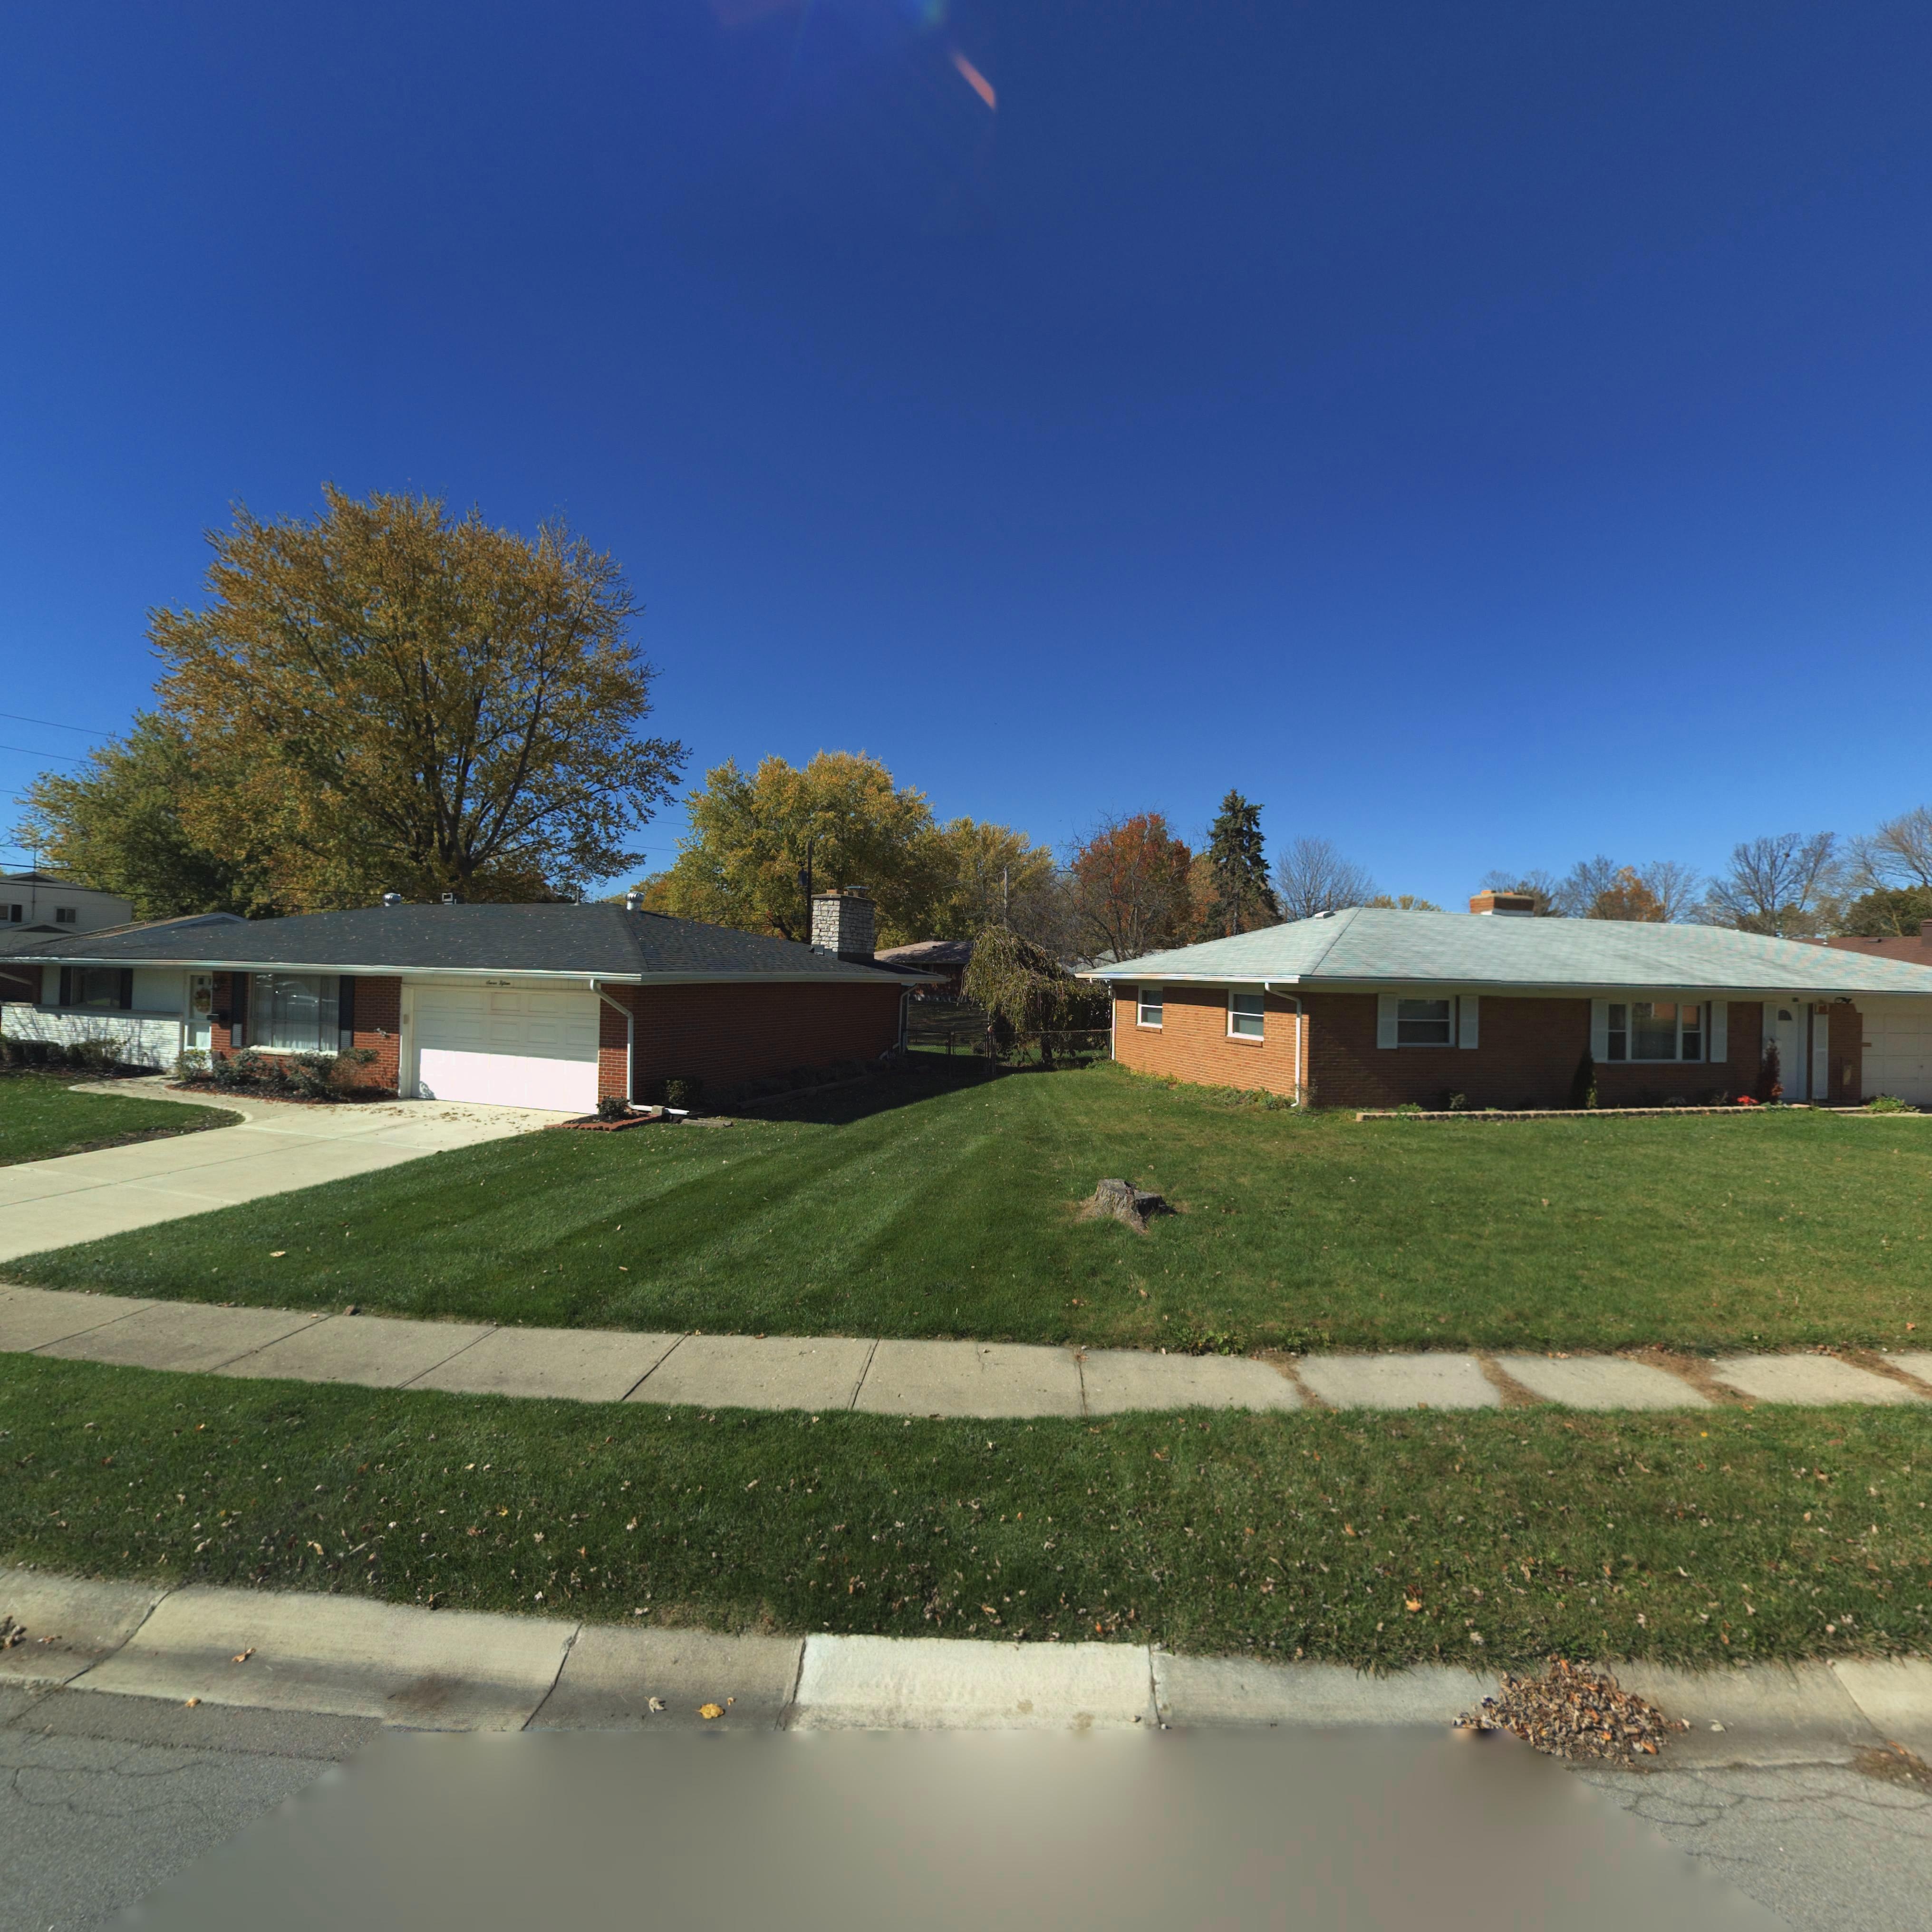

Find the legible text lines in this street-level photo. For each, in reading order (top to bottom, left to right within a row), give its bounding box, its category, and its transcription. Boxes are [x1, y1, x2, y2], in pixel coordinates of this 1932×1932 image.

[485, 979, 511, 986] StreetNumber: Seven Fifteen